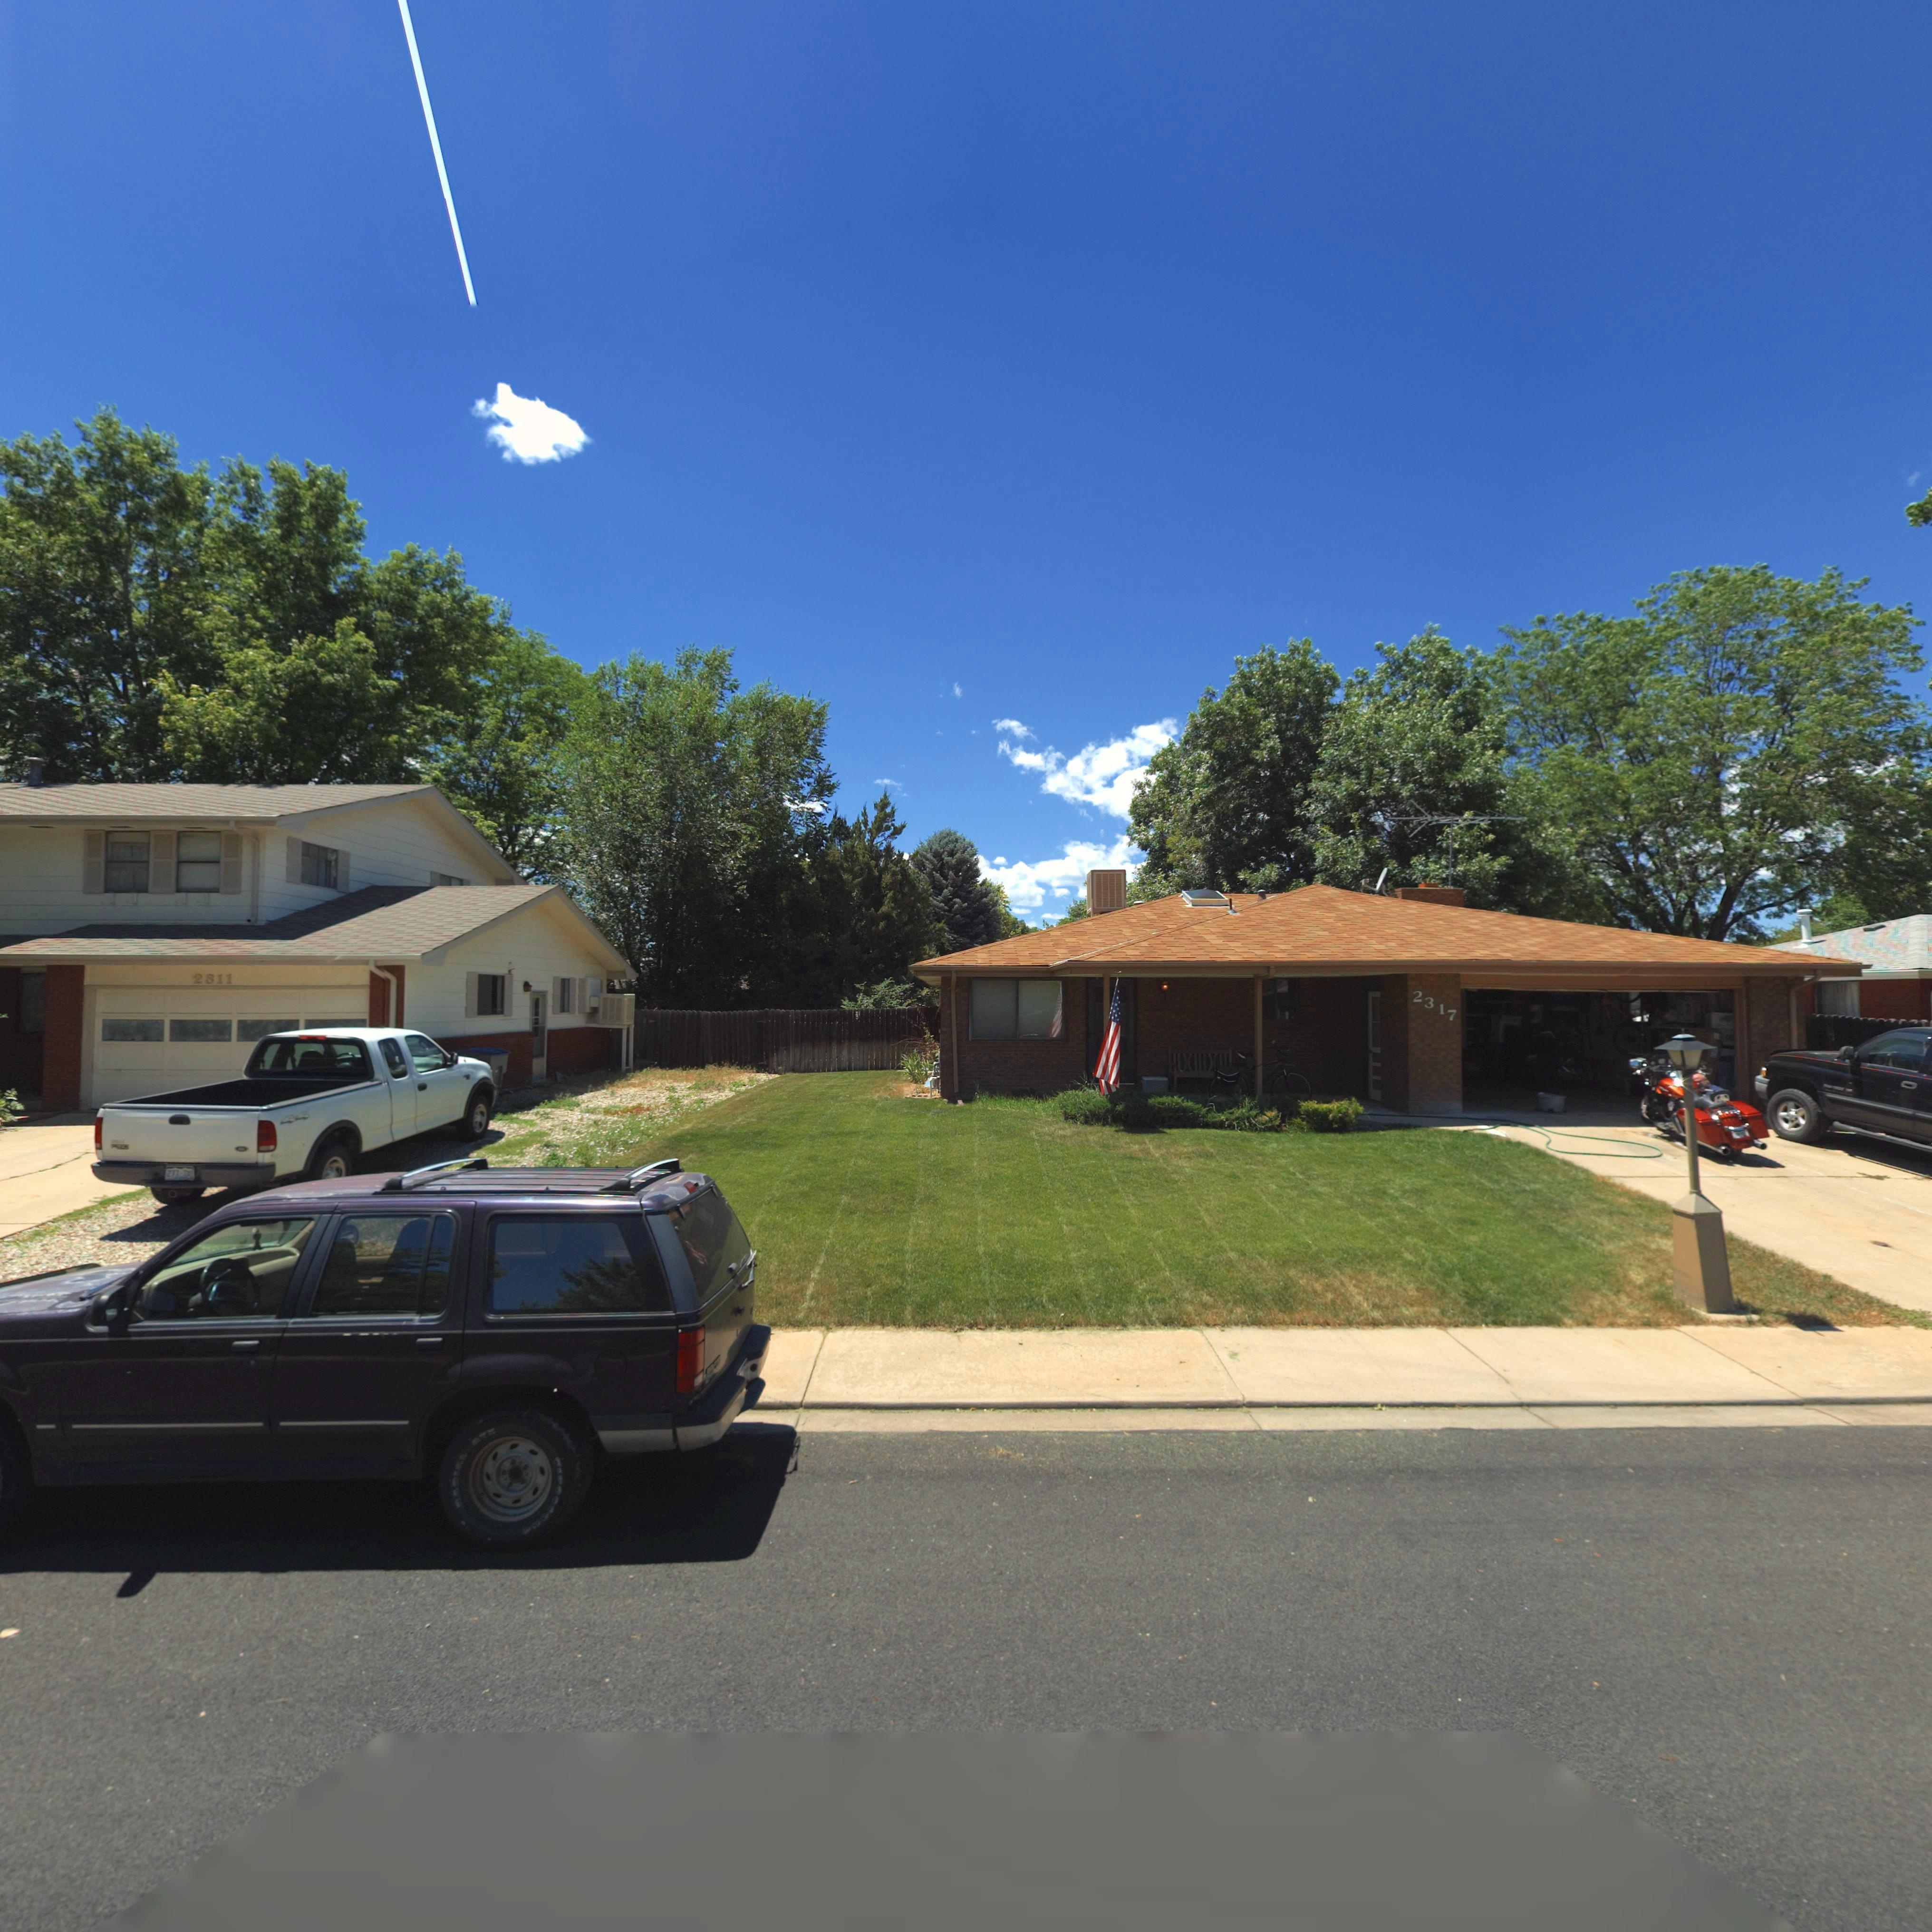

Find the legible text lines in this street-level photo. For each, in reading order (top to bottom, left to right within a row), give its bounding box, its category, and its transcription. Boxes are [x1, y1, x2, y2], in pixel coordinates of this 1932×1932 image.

[192, 972, 232, 984] StreetNumber: 2311
[1411, 990, 1457, 1022] StreetNumber: 2317